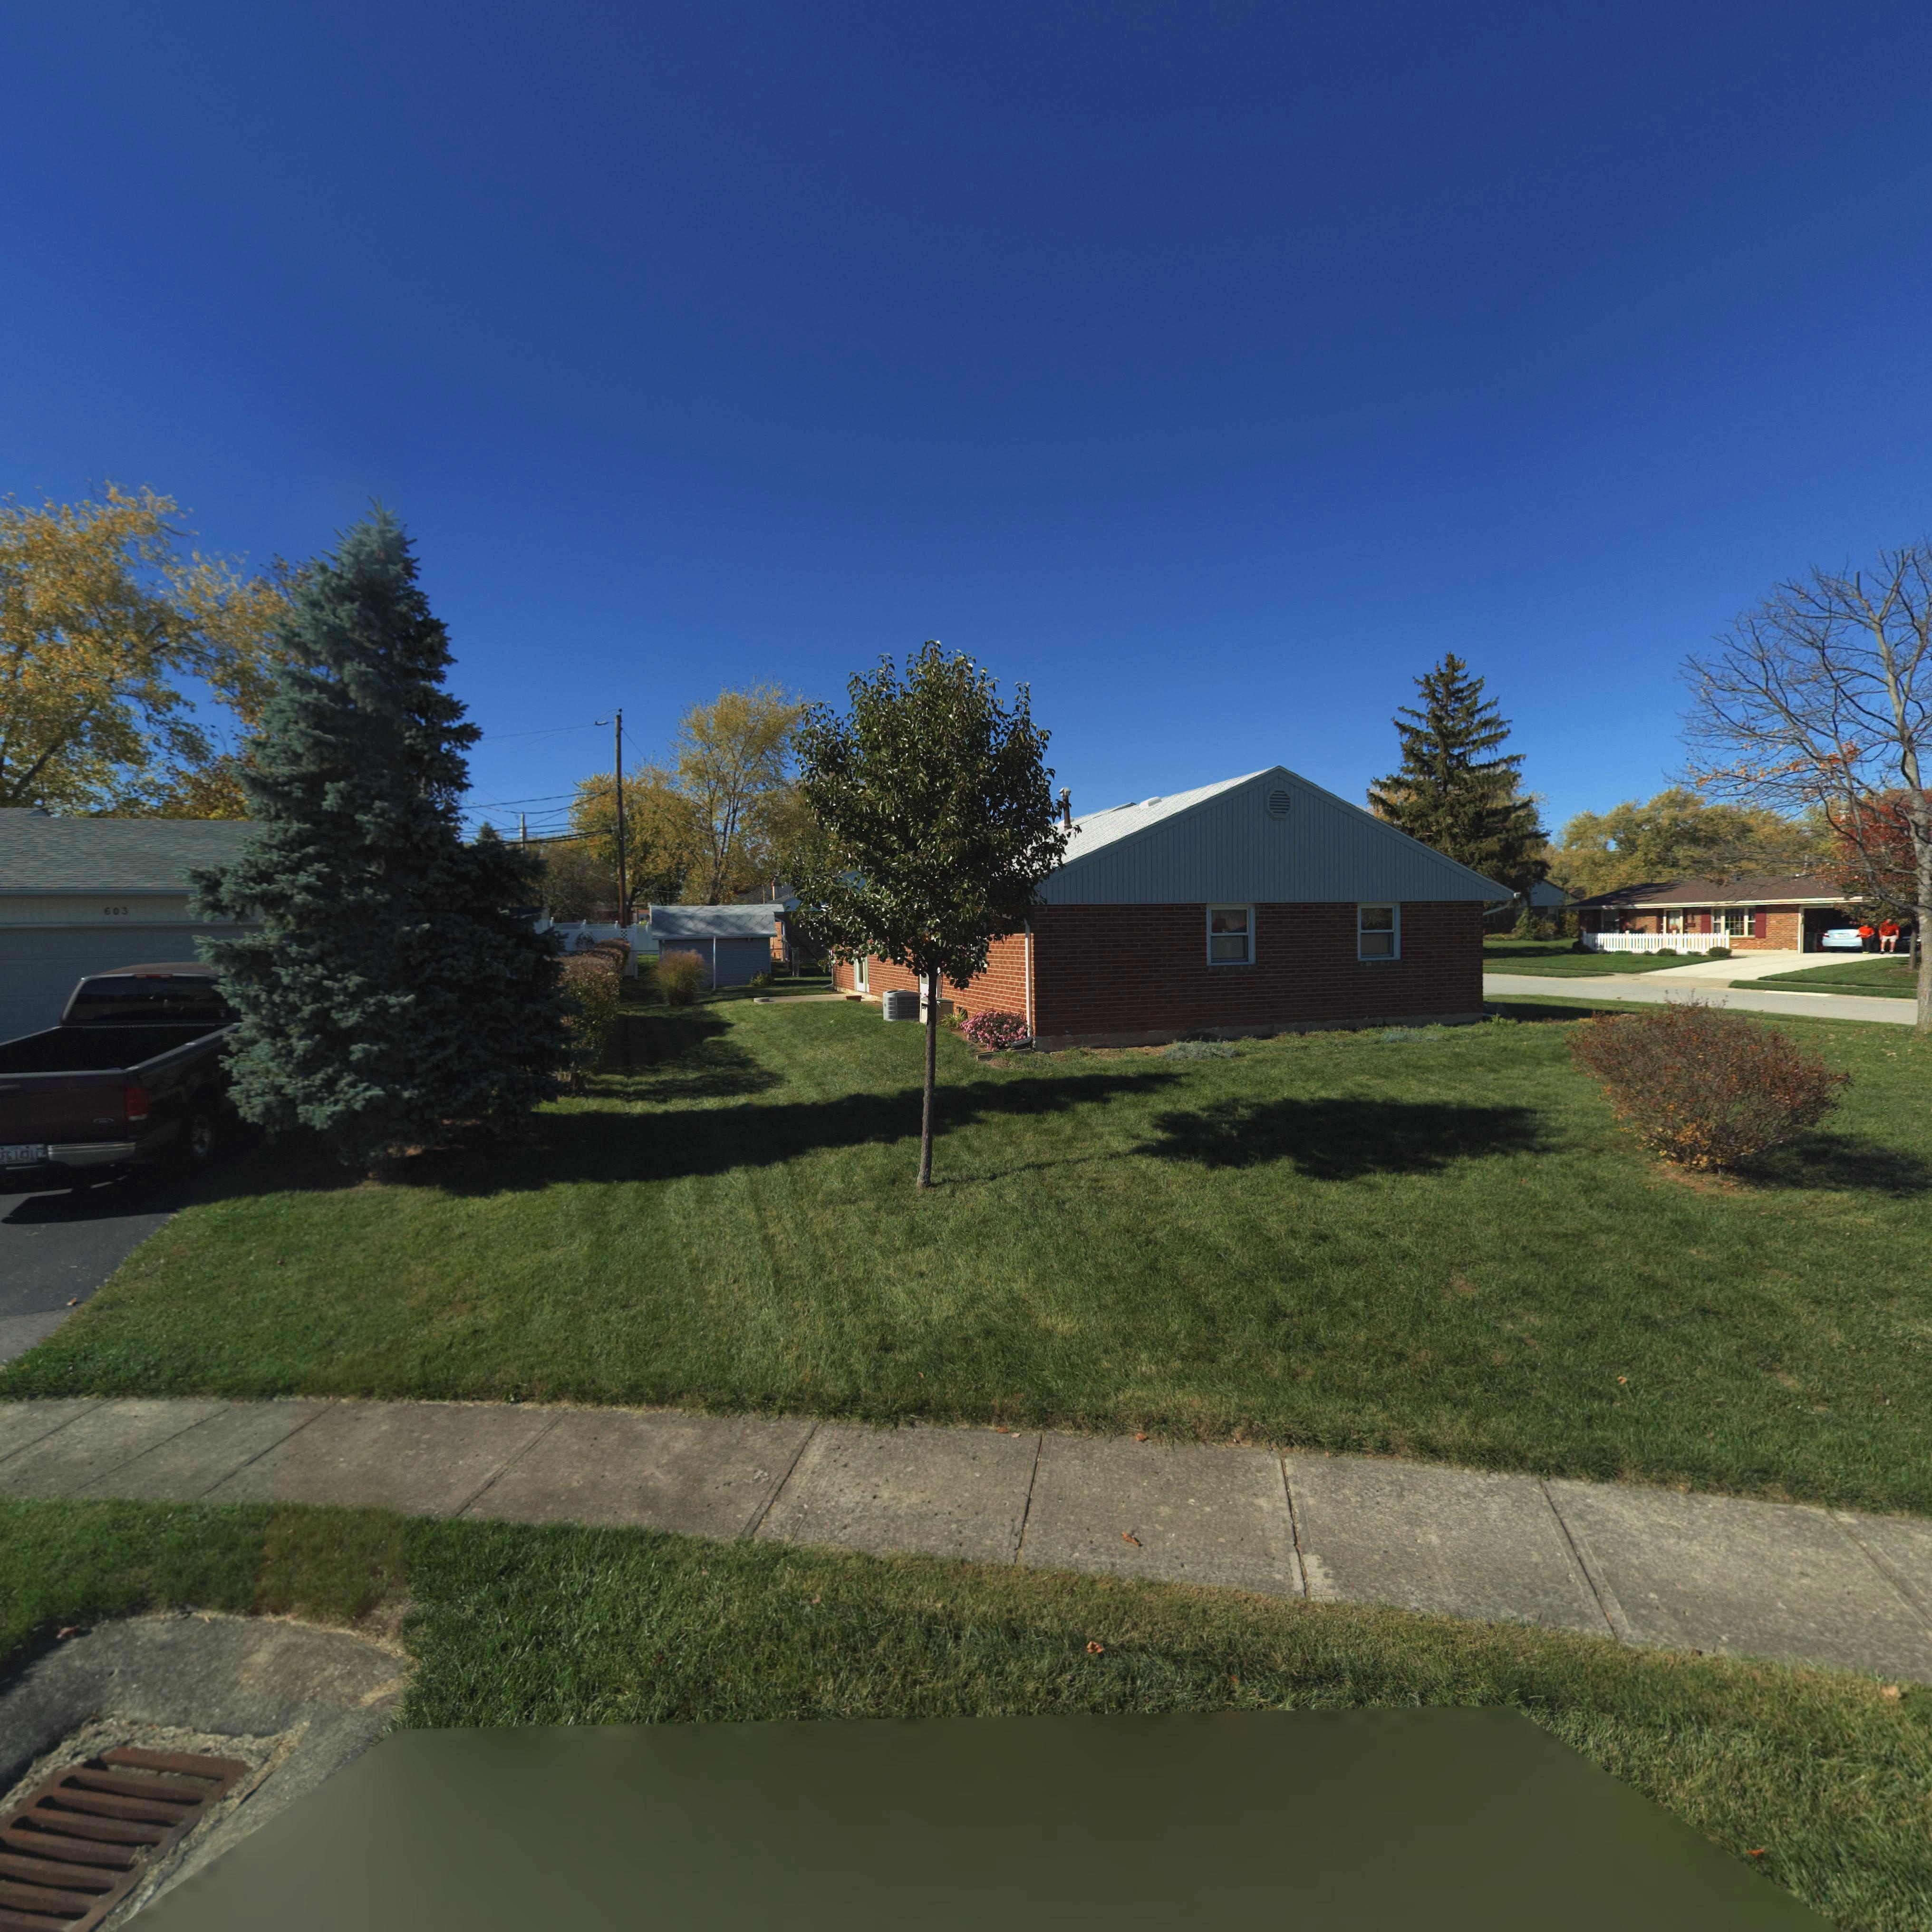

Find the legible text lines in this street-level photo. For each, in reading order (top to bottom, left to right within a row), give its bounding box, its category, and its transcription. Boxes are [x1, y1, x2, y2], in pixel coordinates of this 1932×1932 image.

[104, 906, 129, 916] StreetNumber: 603